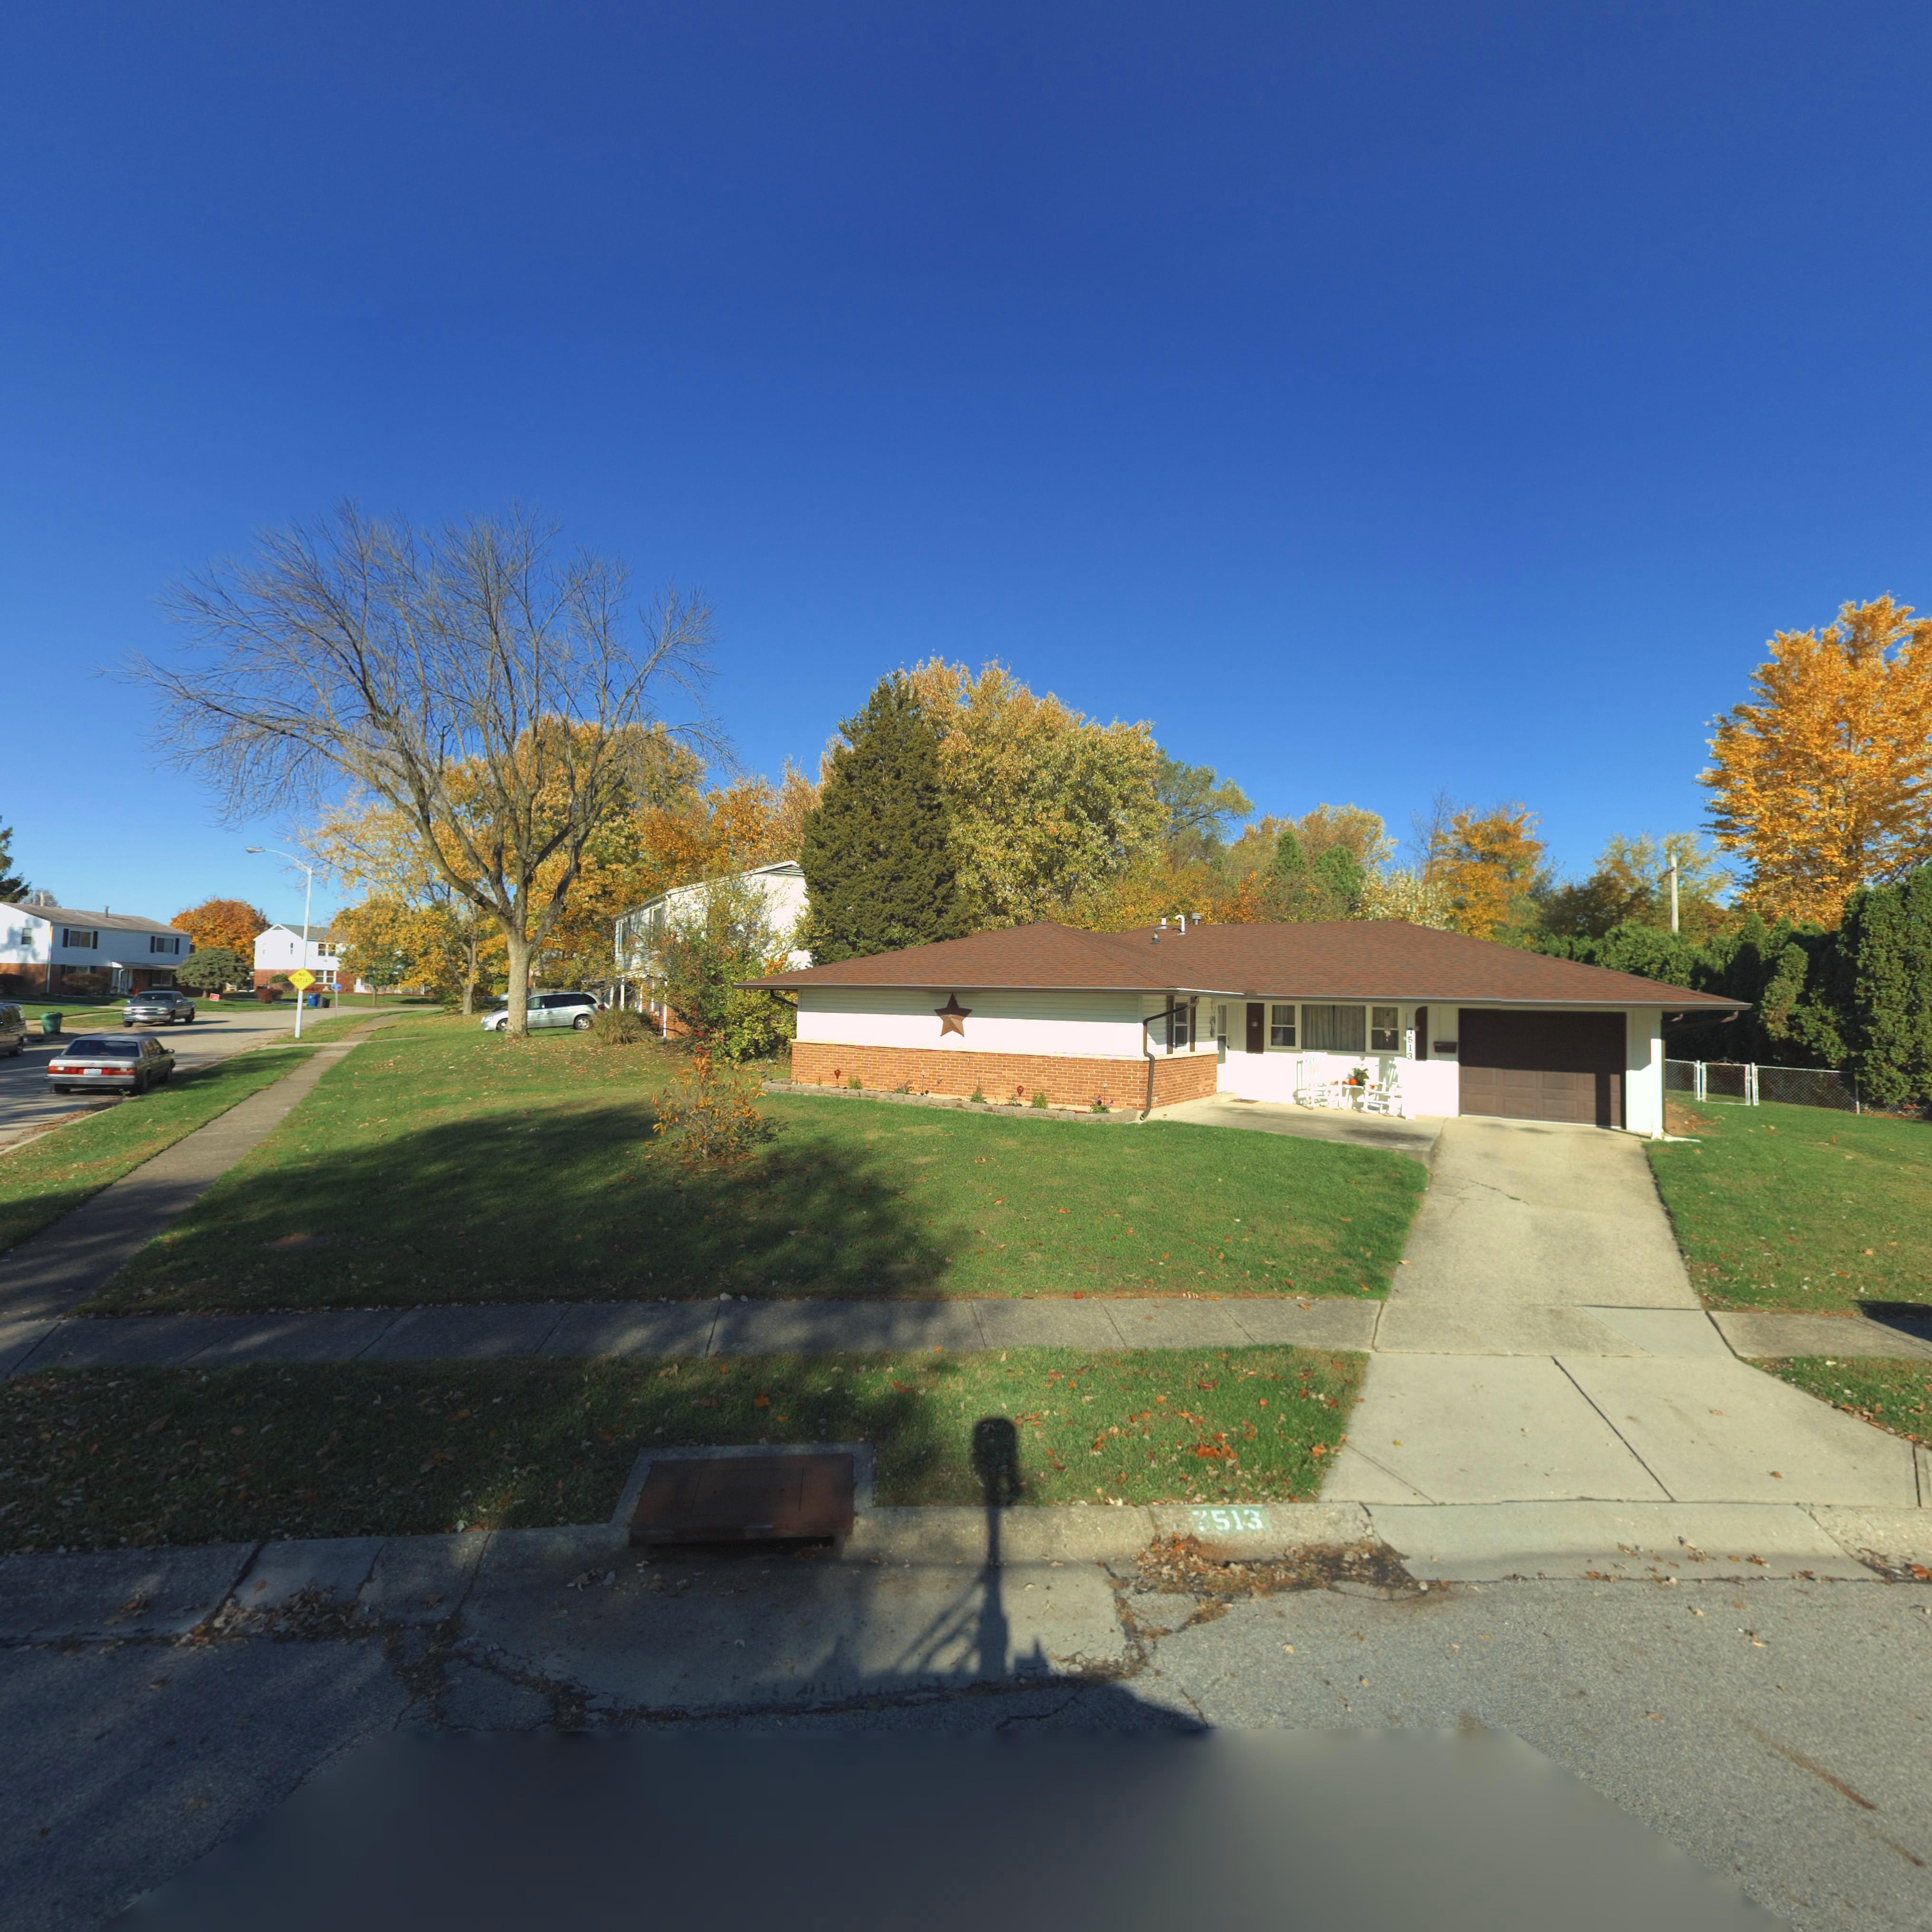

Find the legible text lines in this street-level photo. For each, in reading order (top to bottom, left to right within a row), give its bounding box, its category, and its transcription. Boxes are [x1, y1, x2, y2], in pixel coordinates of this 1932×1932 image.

[1406, 1026, 1414, 1062] StreetNumber: 7513
[1188, 1507, 1266, 1534] StreetNumber: 7513